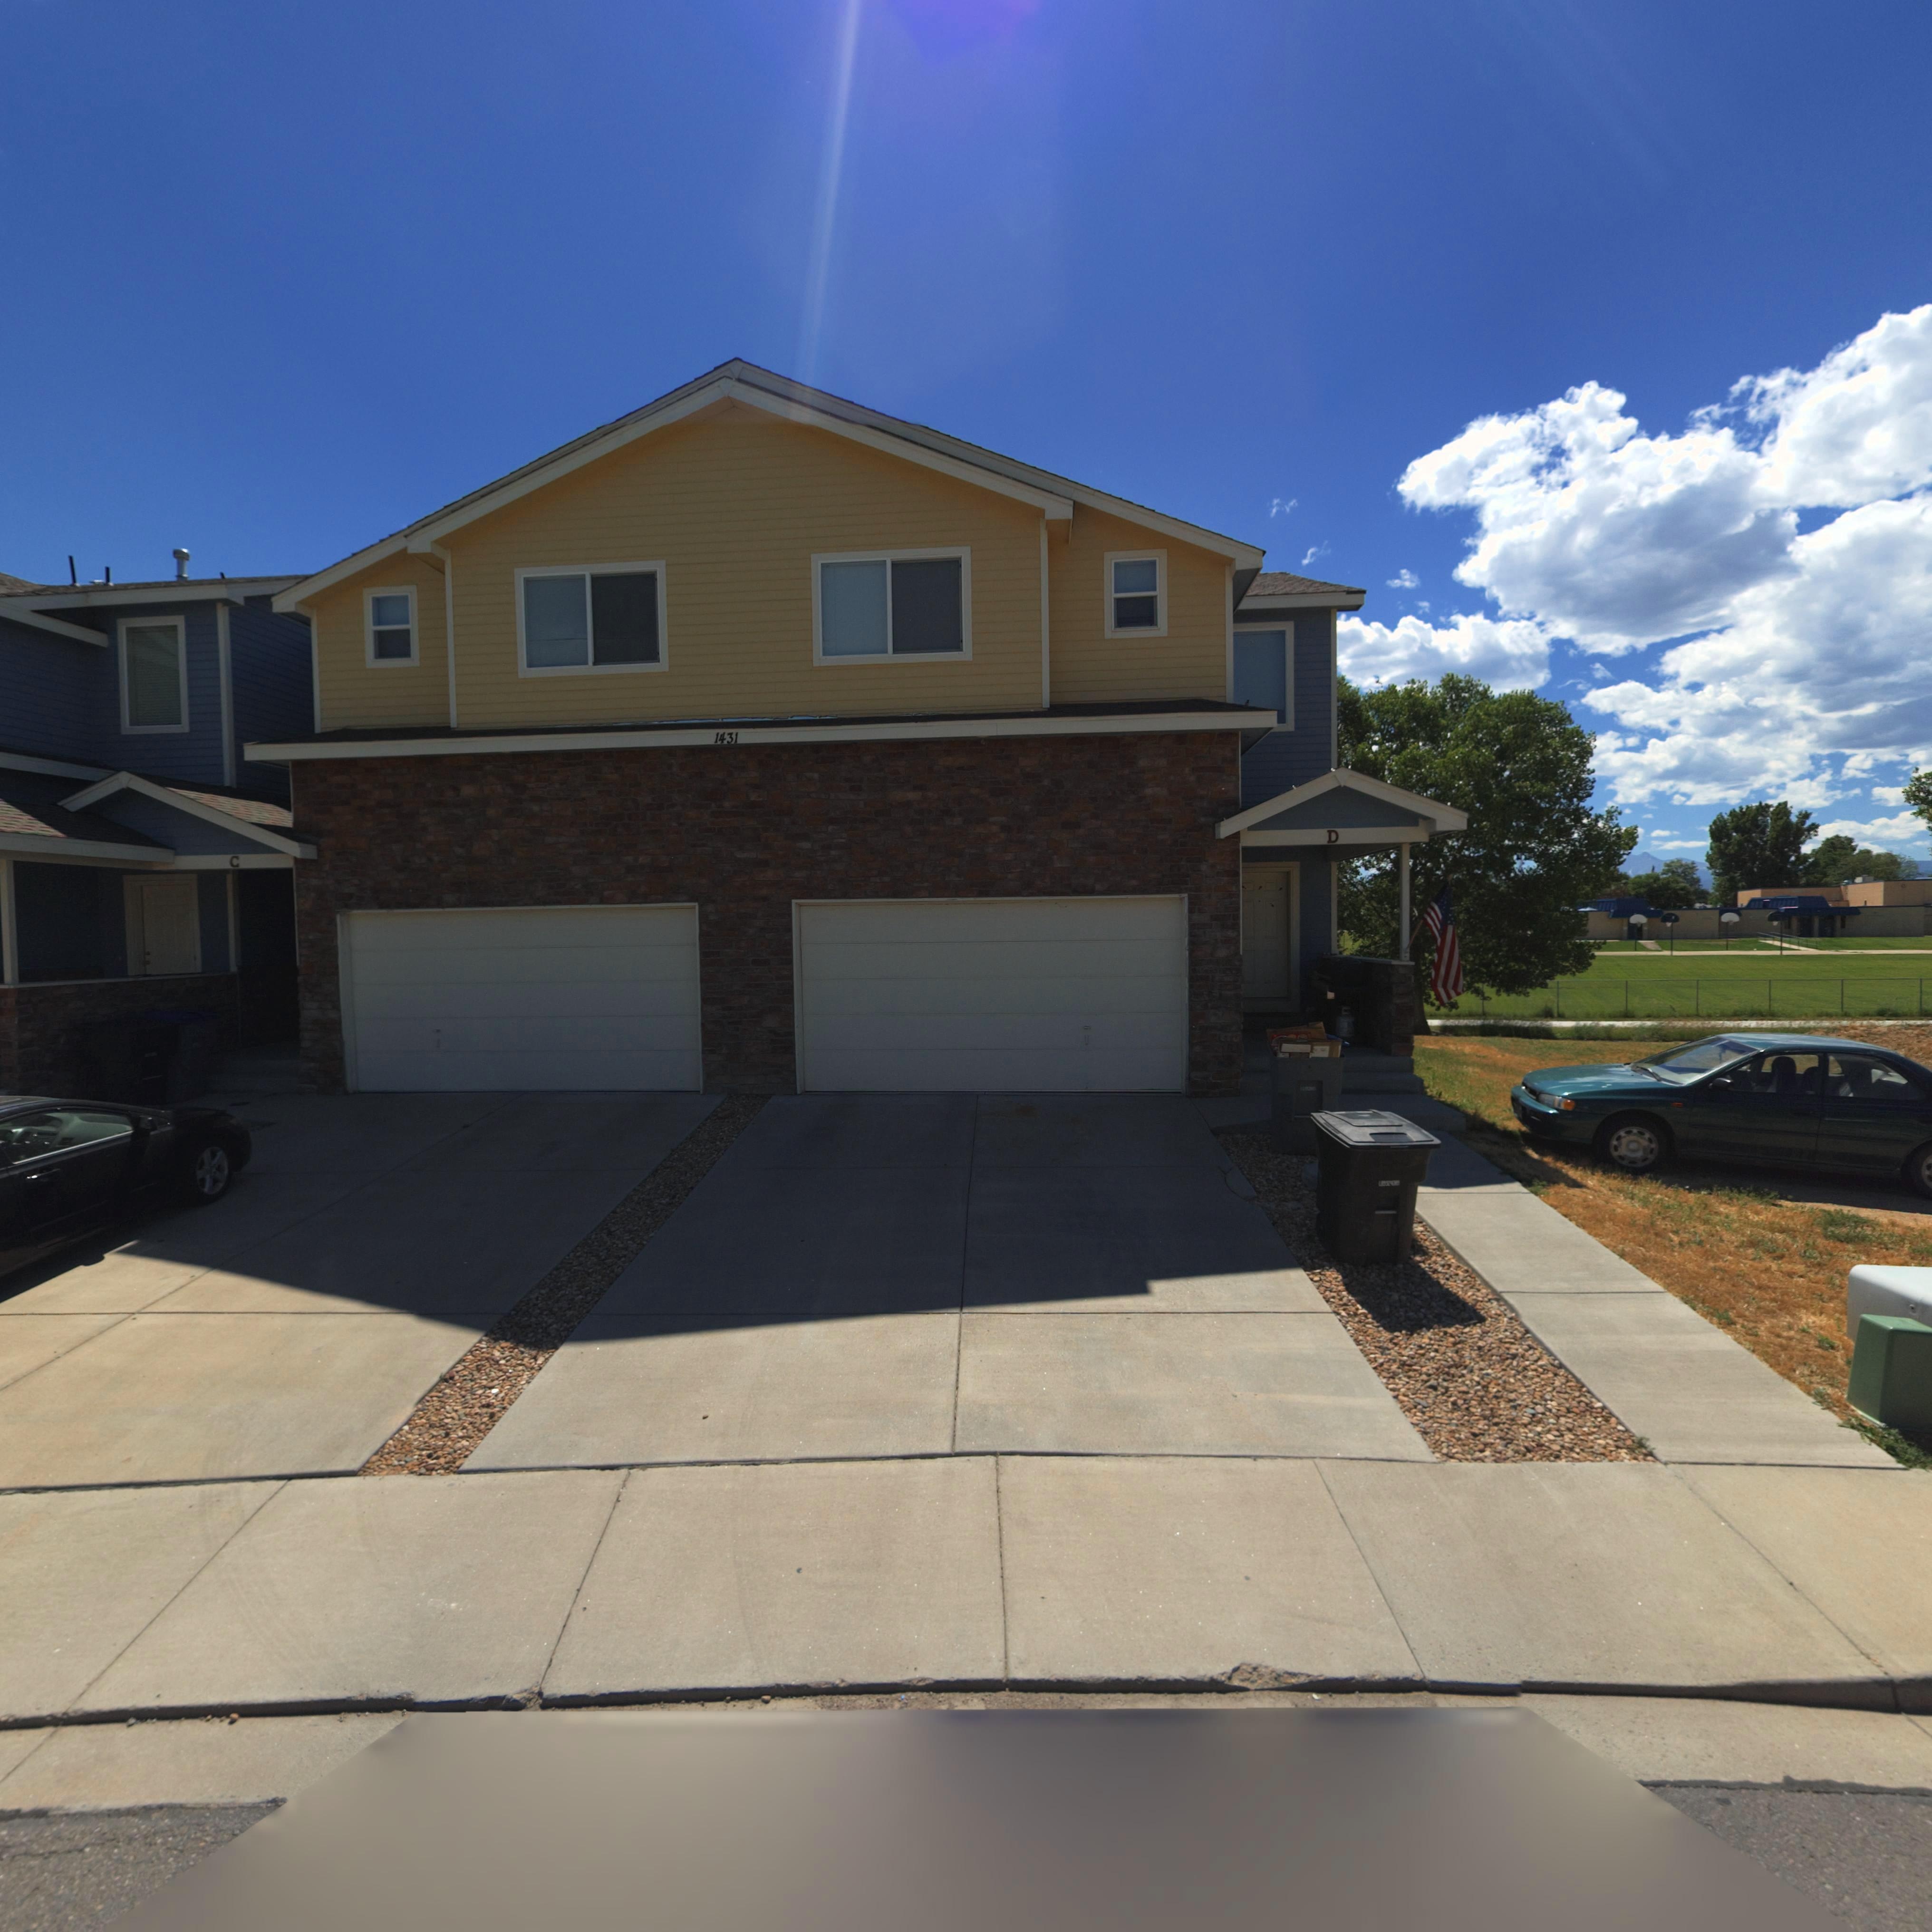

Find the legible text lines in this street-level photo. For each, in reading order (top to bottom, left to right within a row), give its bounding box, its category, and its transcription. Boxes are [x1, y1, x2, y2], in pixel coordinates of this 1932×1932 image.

[713, 731, 738, 744] StreetNumber: 1431
[1326, 829, 1339, 844] SecondaryUnitDesignator: D
[228, 854, 240, 869] SecondaryUnitDesignator: C